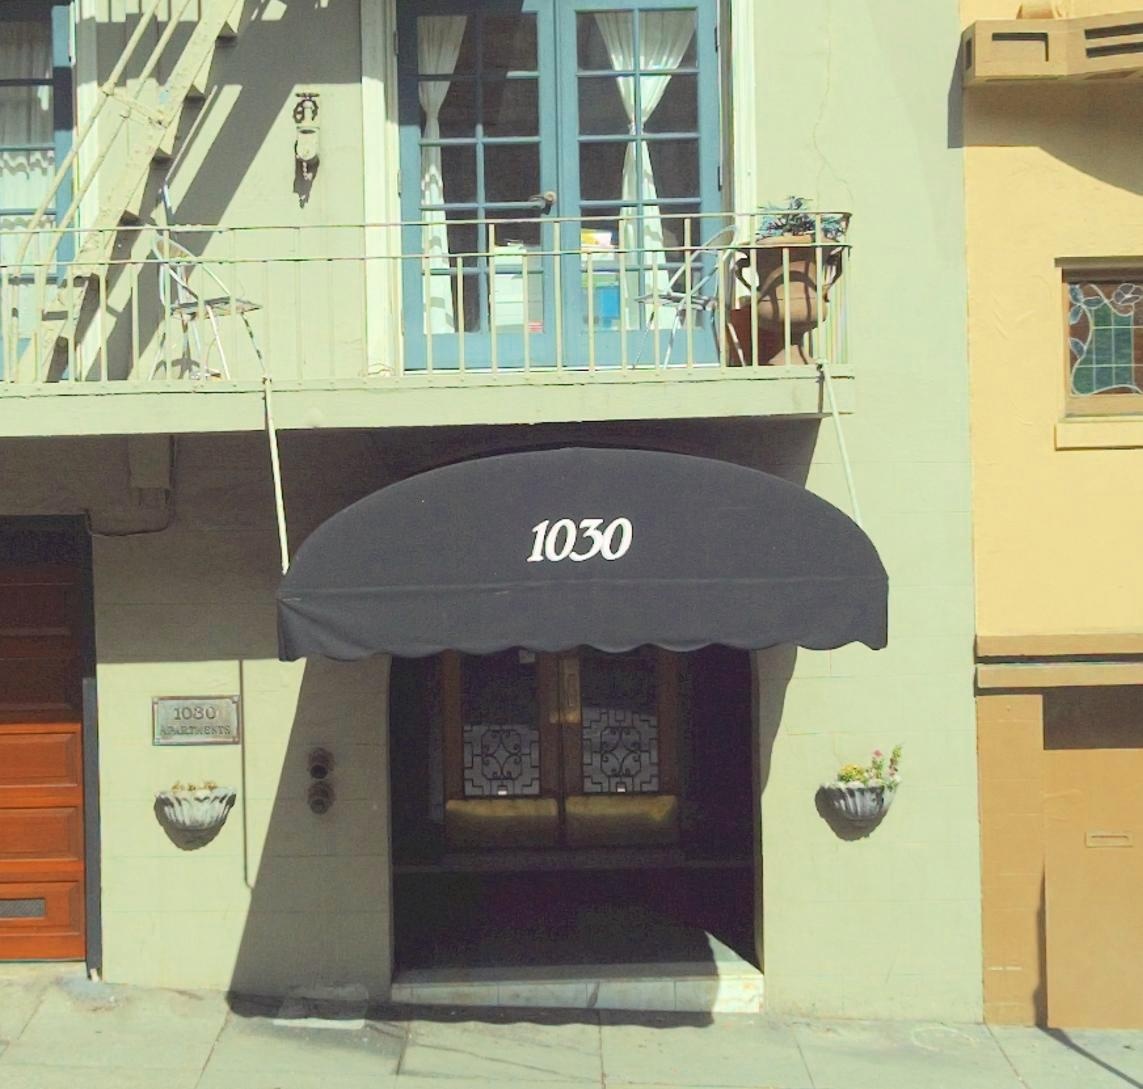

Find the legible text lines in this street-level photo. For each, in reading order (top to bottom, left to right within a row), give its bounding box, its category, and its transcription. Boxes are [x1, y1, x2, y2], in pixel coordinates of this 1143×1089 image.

[522, 512, 637, 568] StreetNumber: 1030
[172, 702, 220, 723] StreetNumber: 1030
[157, 722, 234, 738] None: APARTMENTS